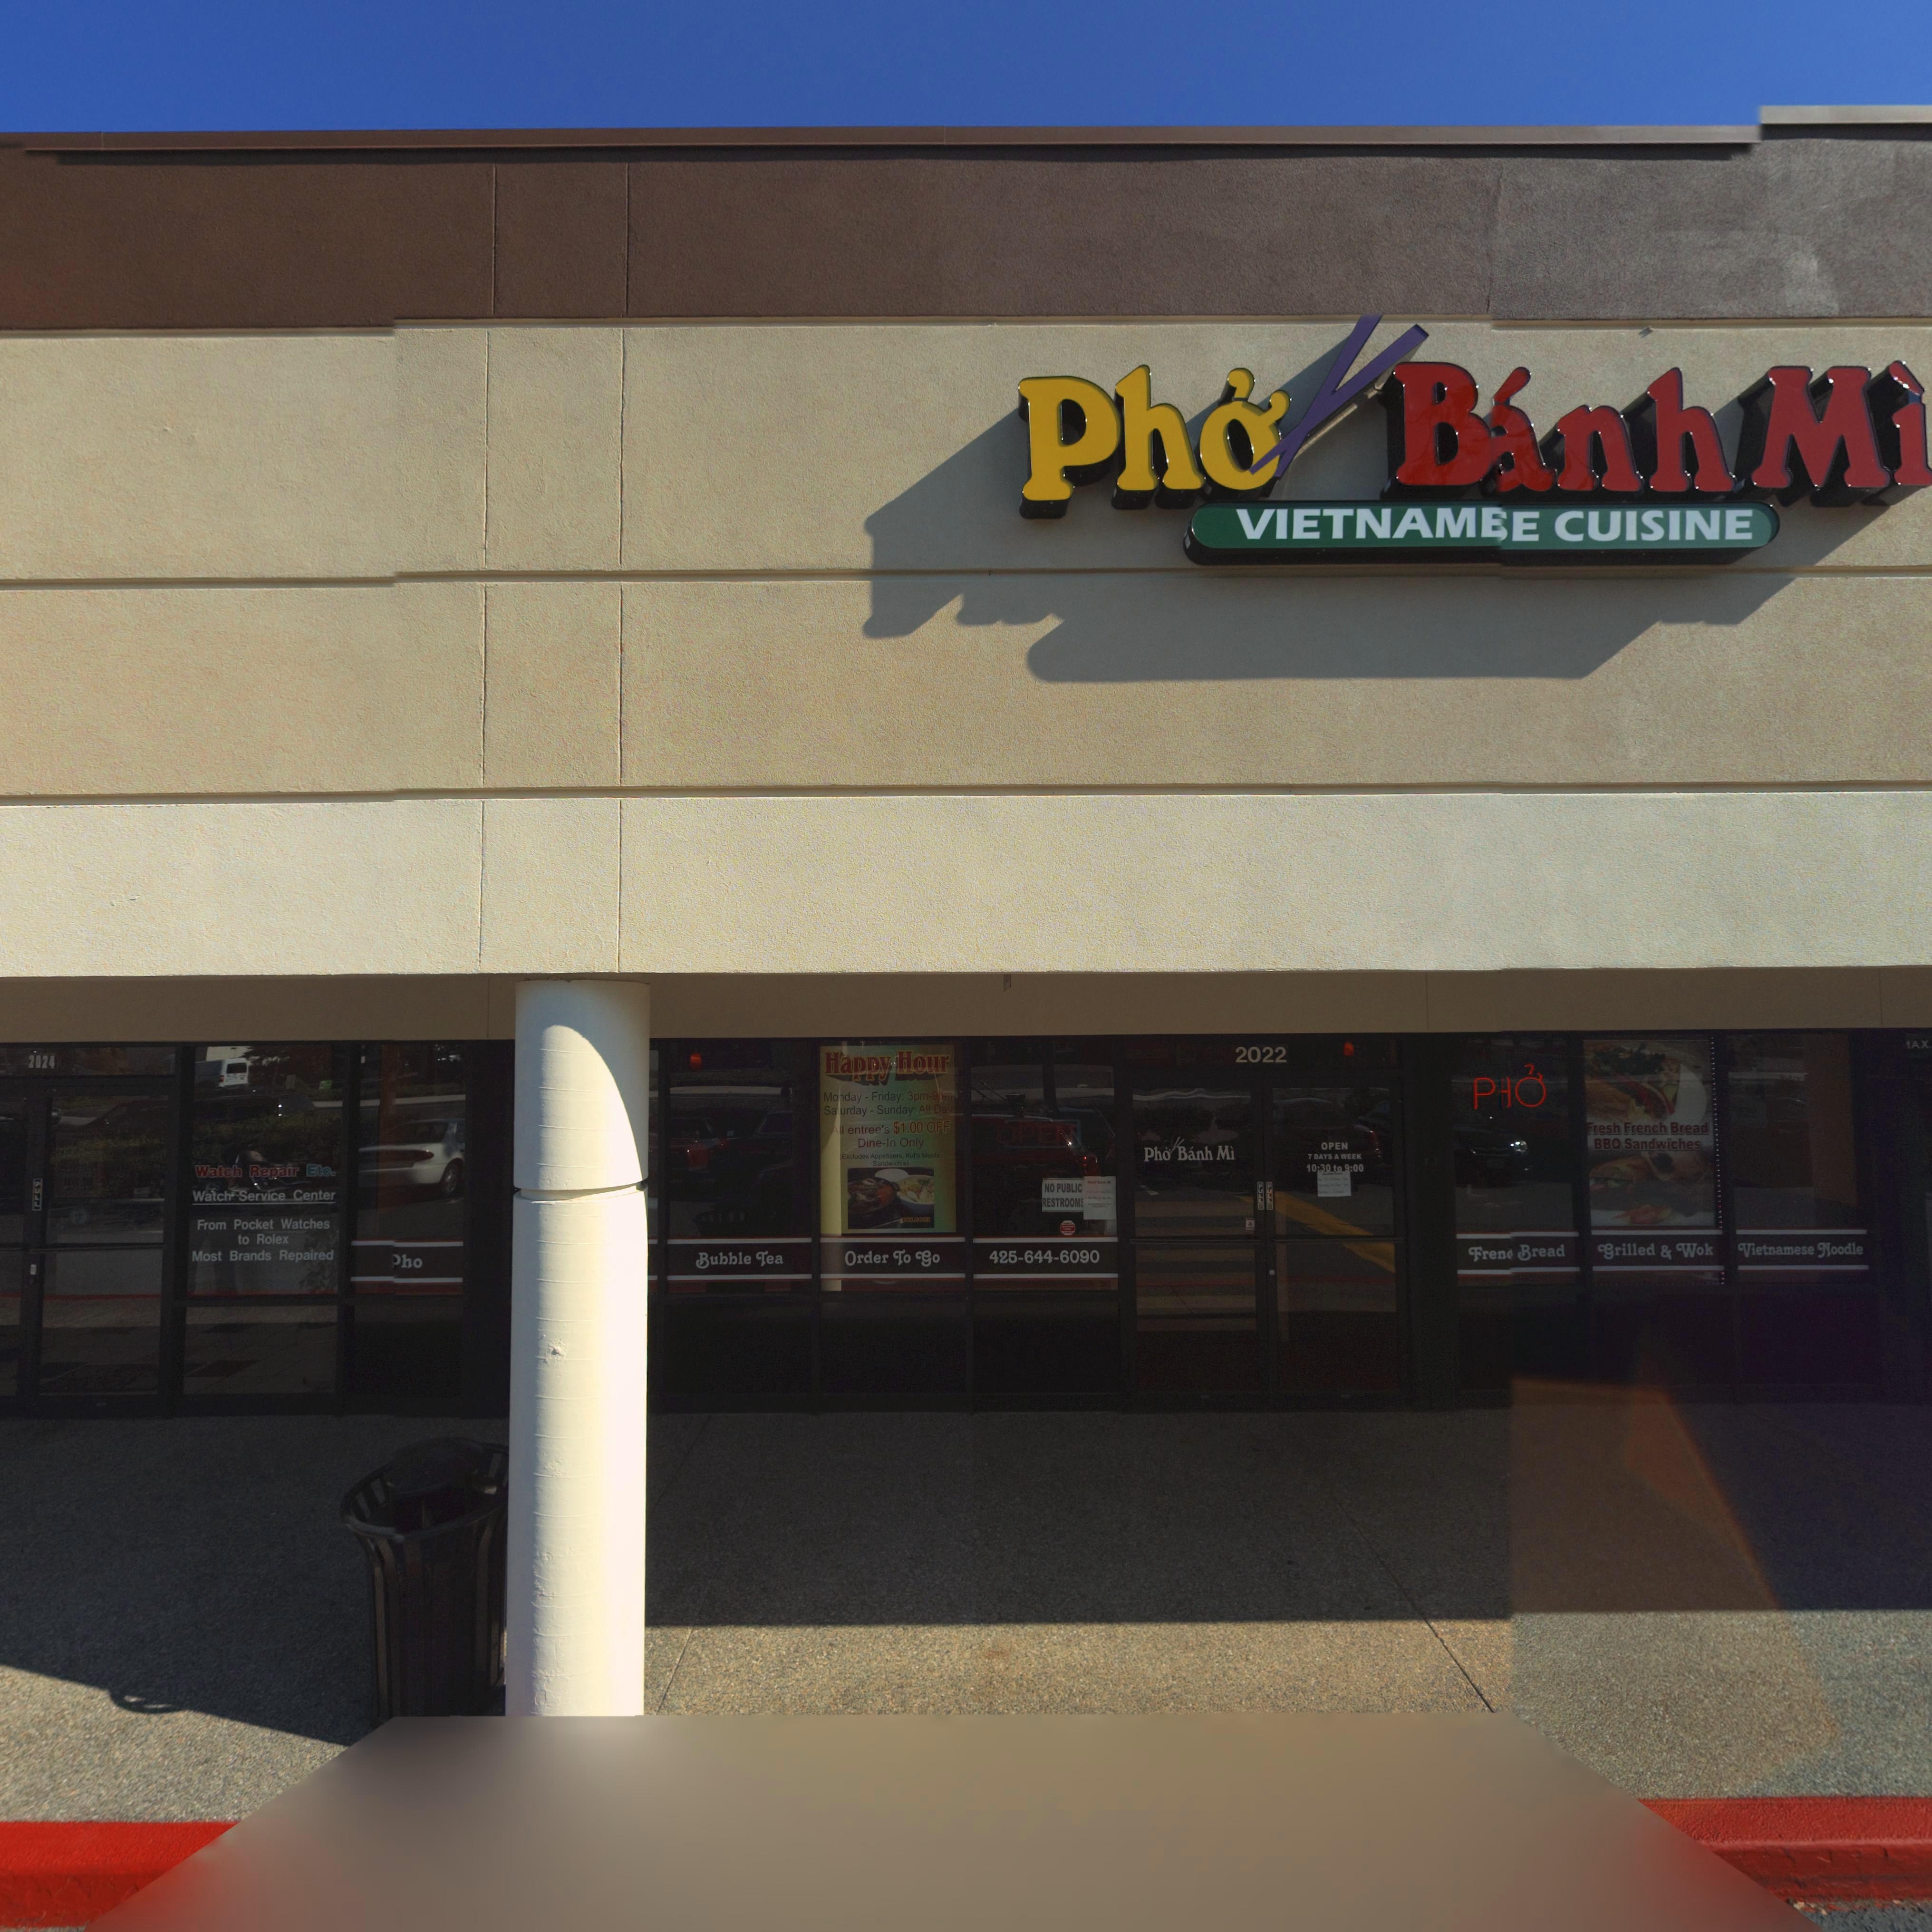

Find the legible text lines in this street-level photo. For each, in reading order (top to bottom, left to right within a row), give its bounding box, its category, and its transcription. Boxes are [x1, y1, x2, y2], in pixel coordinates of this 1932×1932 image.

[1377, 348, 1932, 490] BusinessName: BanhMi
[1236, 507, 1753, 541] BusinessName: VIETNAME*E CUISINE
[29, 1055, 55, 1068] StreetNumber: 2024
[1236, 1046, 1287, 1062] StreetNumber: 2022
[1474, 1063, 1547, 1109] None: PH*
[1144, 1146, 1235, 1161] BusinessName: Ph* B*nh Mi
[194, 1165, 331, 1177] BusinessName: Watch Repair Etc
[1633, 1243, 1713, 1259] BusinessName: *ok
[1737, 1242, 1864, 1257] BusinessName: Vietnamese Noodle